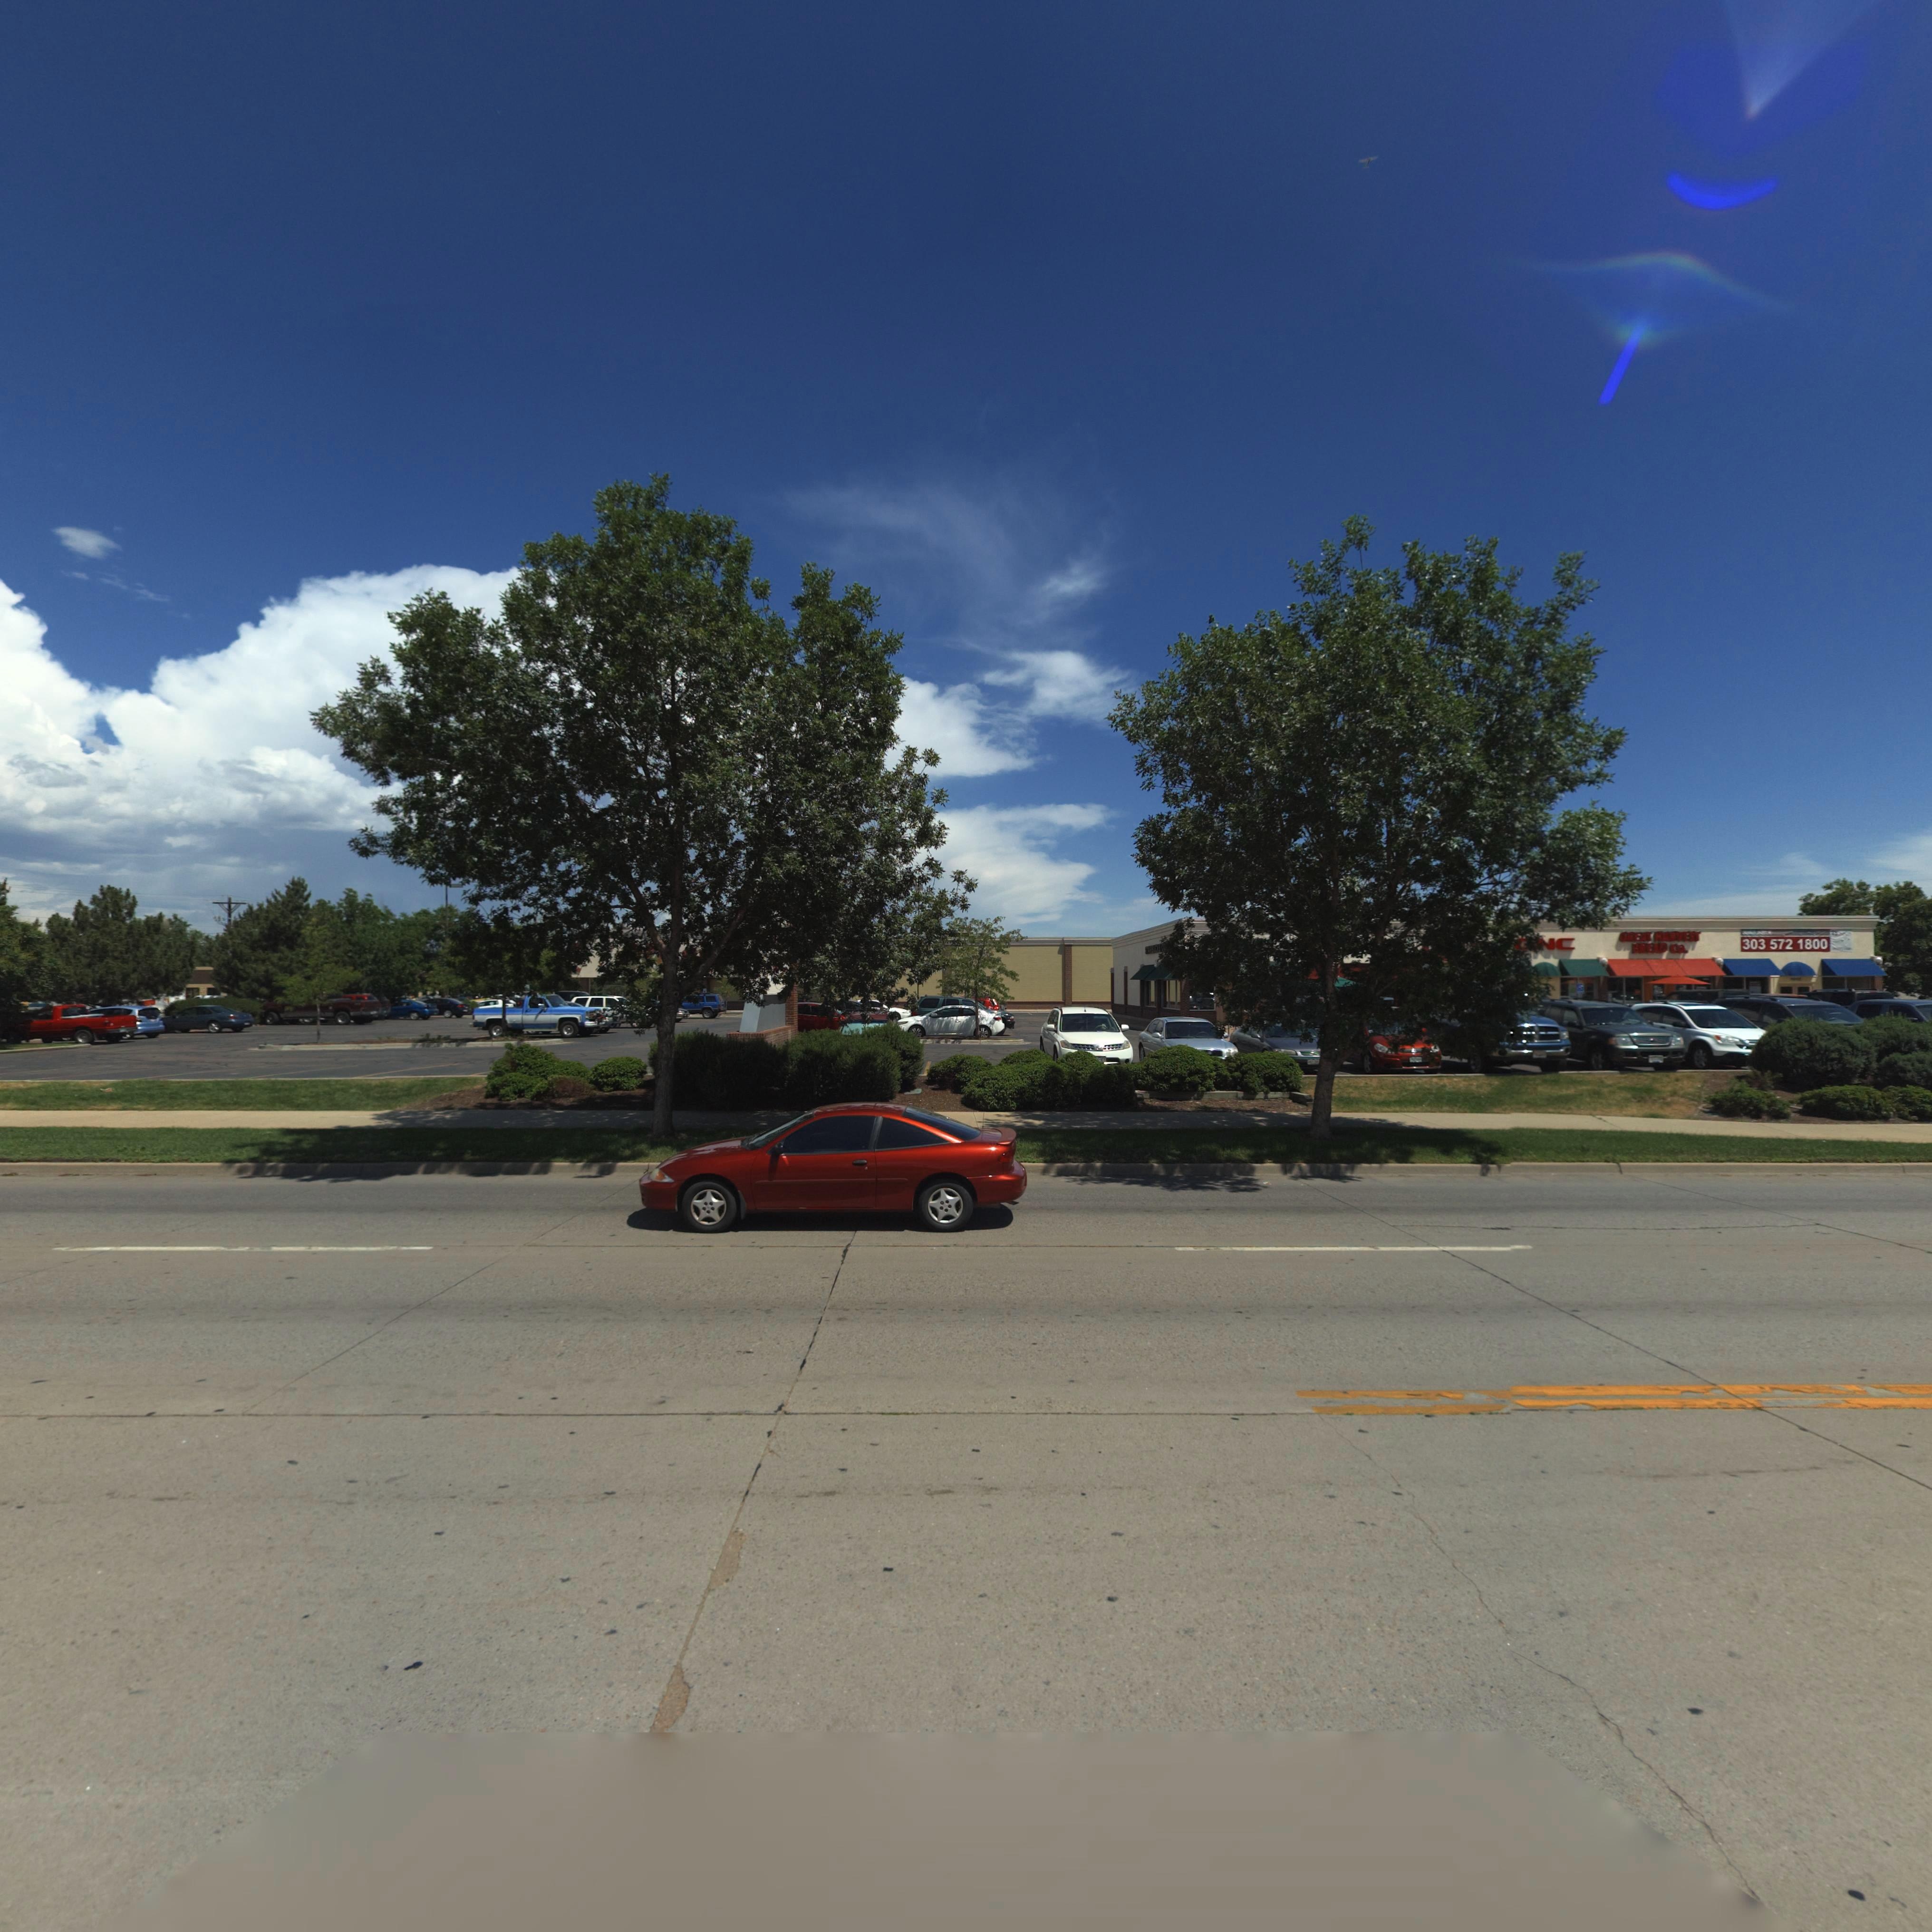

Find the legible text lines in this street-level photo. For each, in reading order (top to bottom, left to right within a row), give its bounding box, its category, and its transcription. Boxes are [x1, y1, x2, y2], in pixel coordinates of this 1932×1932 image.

[1619, 930, 1701, 943] BusinessName: GREAT HARVEST
[1144, 941, 1171, 955] BusinessName: STARB*CKS CO*****
[1514, 937, 1575, 951] BusinessName: GNC
[1632, 942, 1689, 954] BusinessName: BREAD Co.